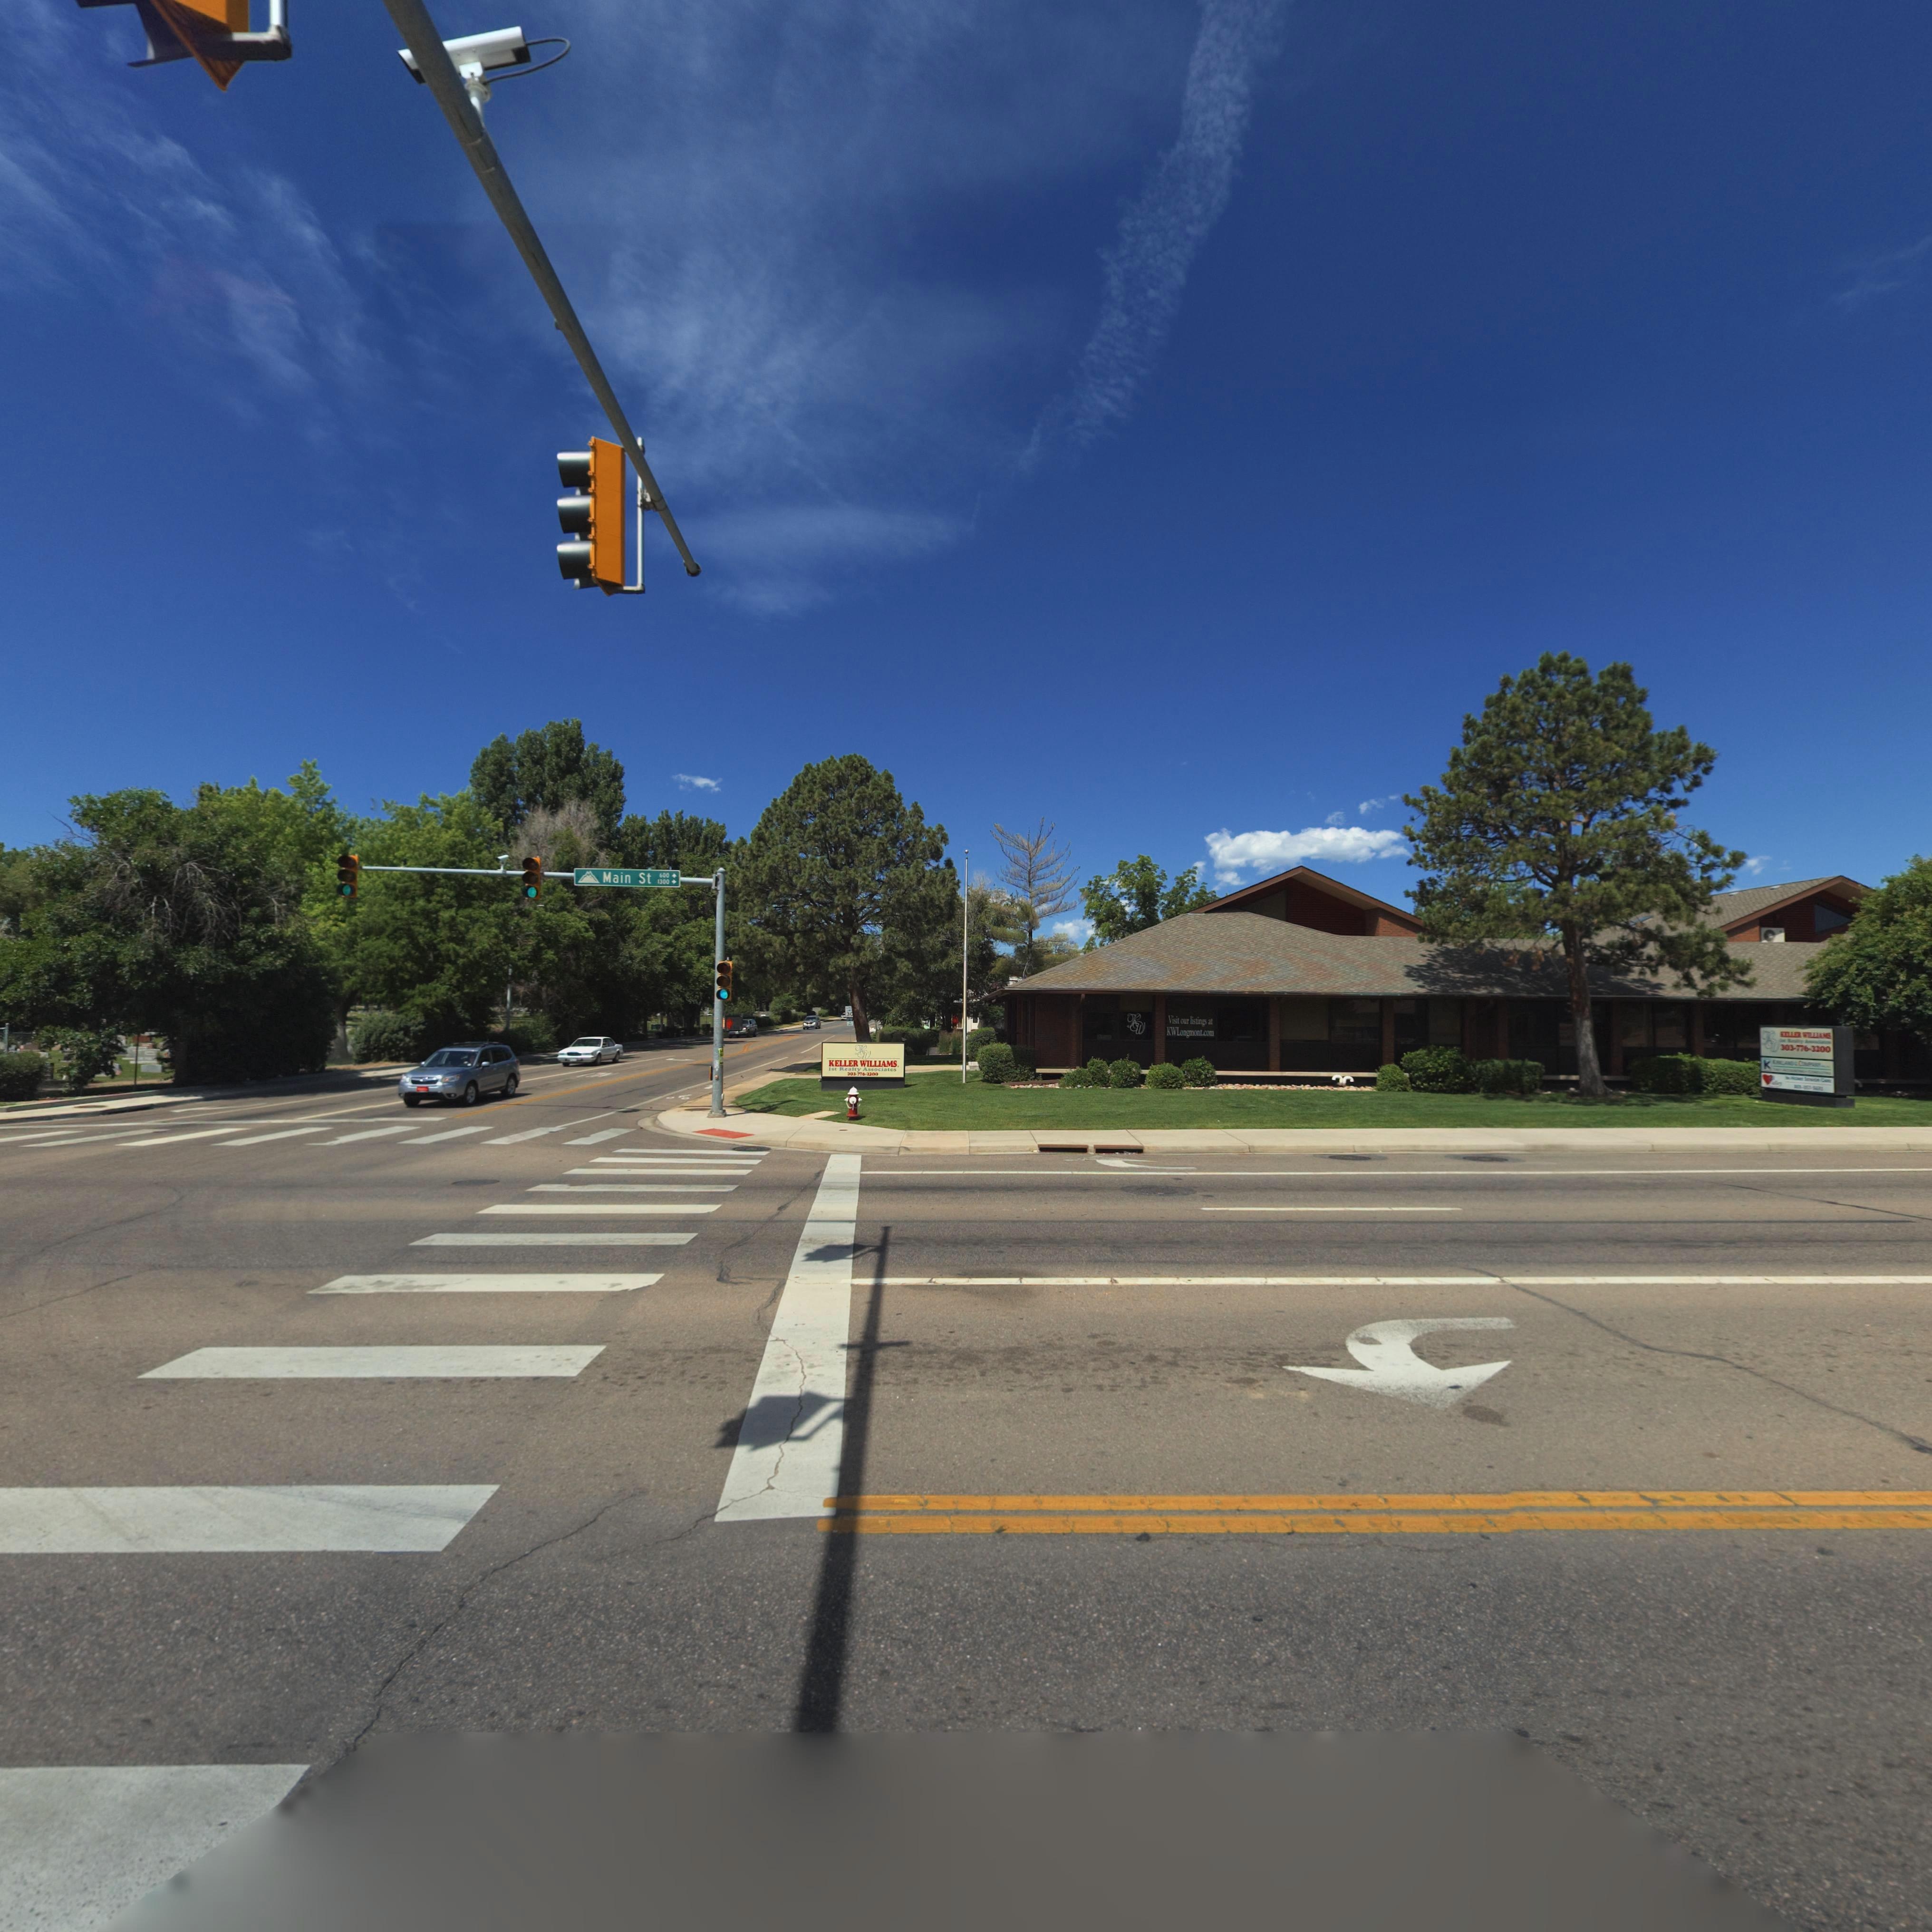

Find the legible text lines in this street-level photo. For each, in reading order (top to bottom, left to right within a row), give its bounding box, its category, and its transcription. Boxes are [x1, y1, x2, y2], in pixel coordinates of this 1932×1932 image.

[603, 871, 652, 884] StreetName: Main St
[658, 872, 669, 878] StreetNumberRange: 600
[657, 879, 677, 884] StreetNumberRange: 1300->
[1780, 1030, 1832, 1039] BusinessName: KELLER WILLIAMS
[828, 1059, 898, 1067] BusinessName: KELLER WILLIAMS
[828, 1067, 897, 1072] BusinessName: 1st Realty Associates